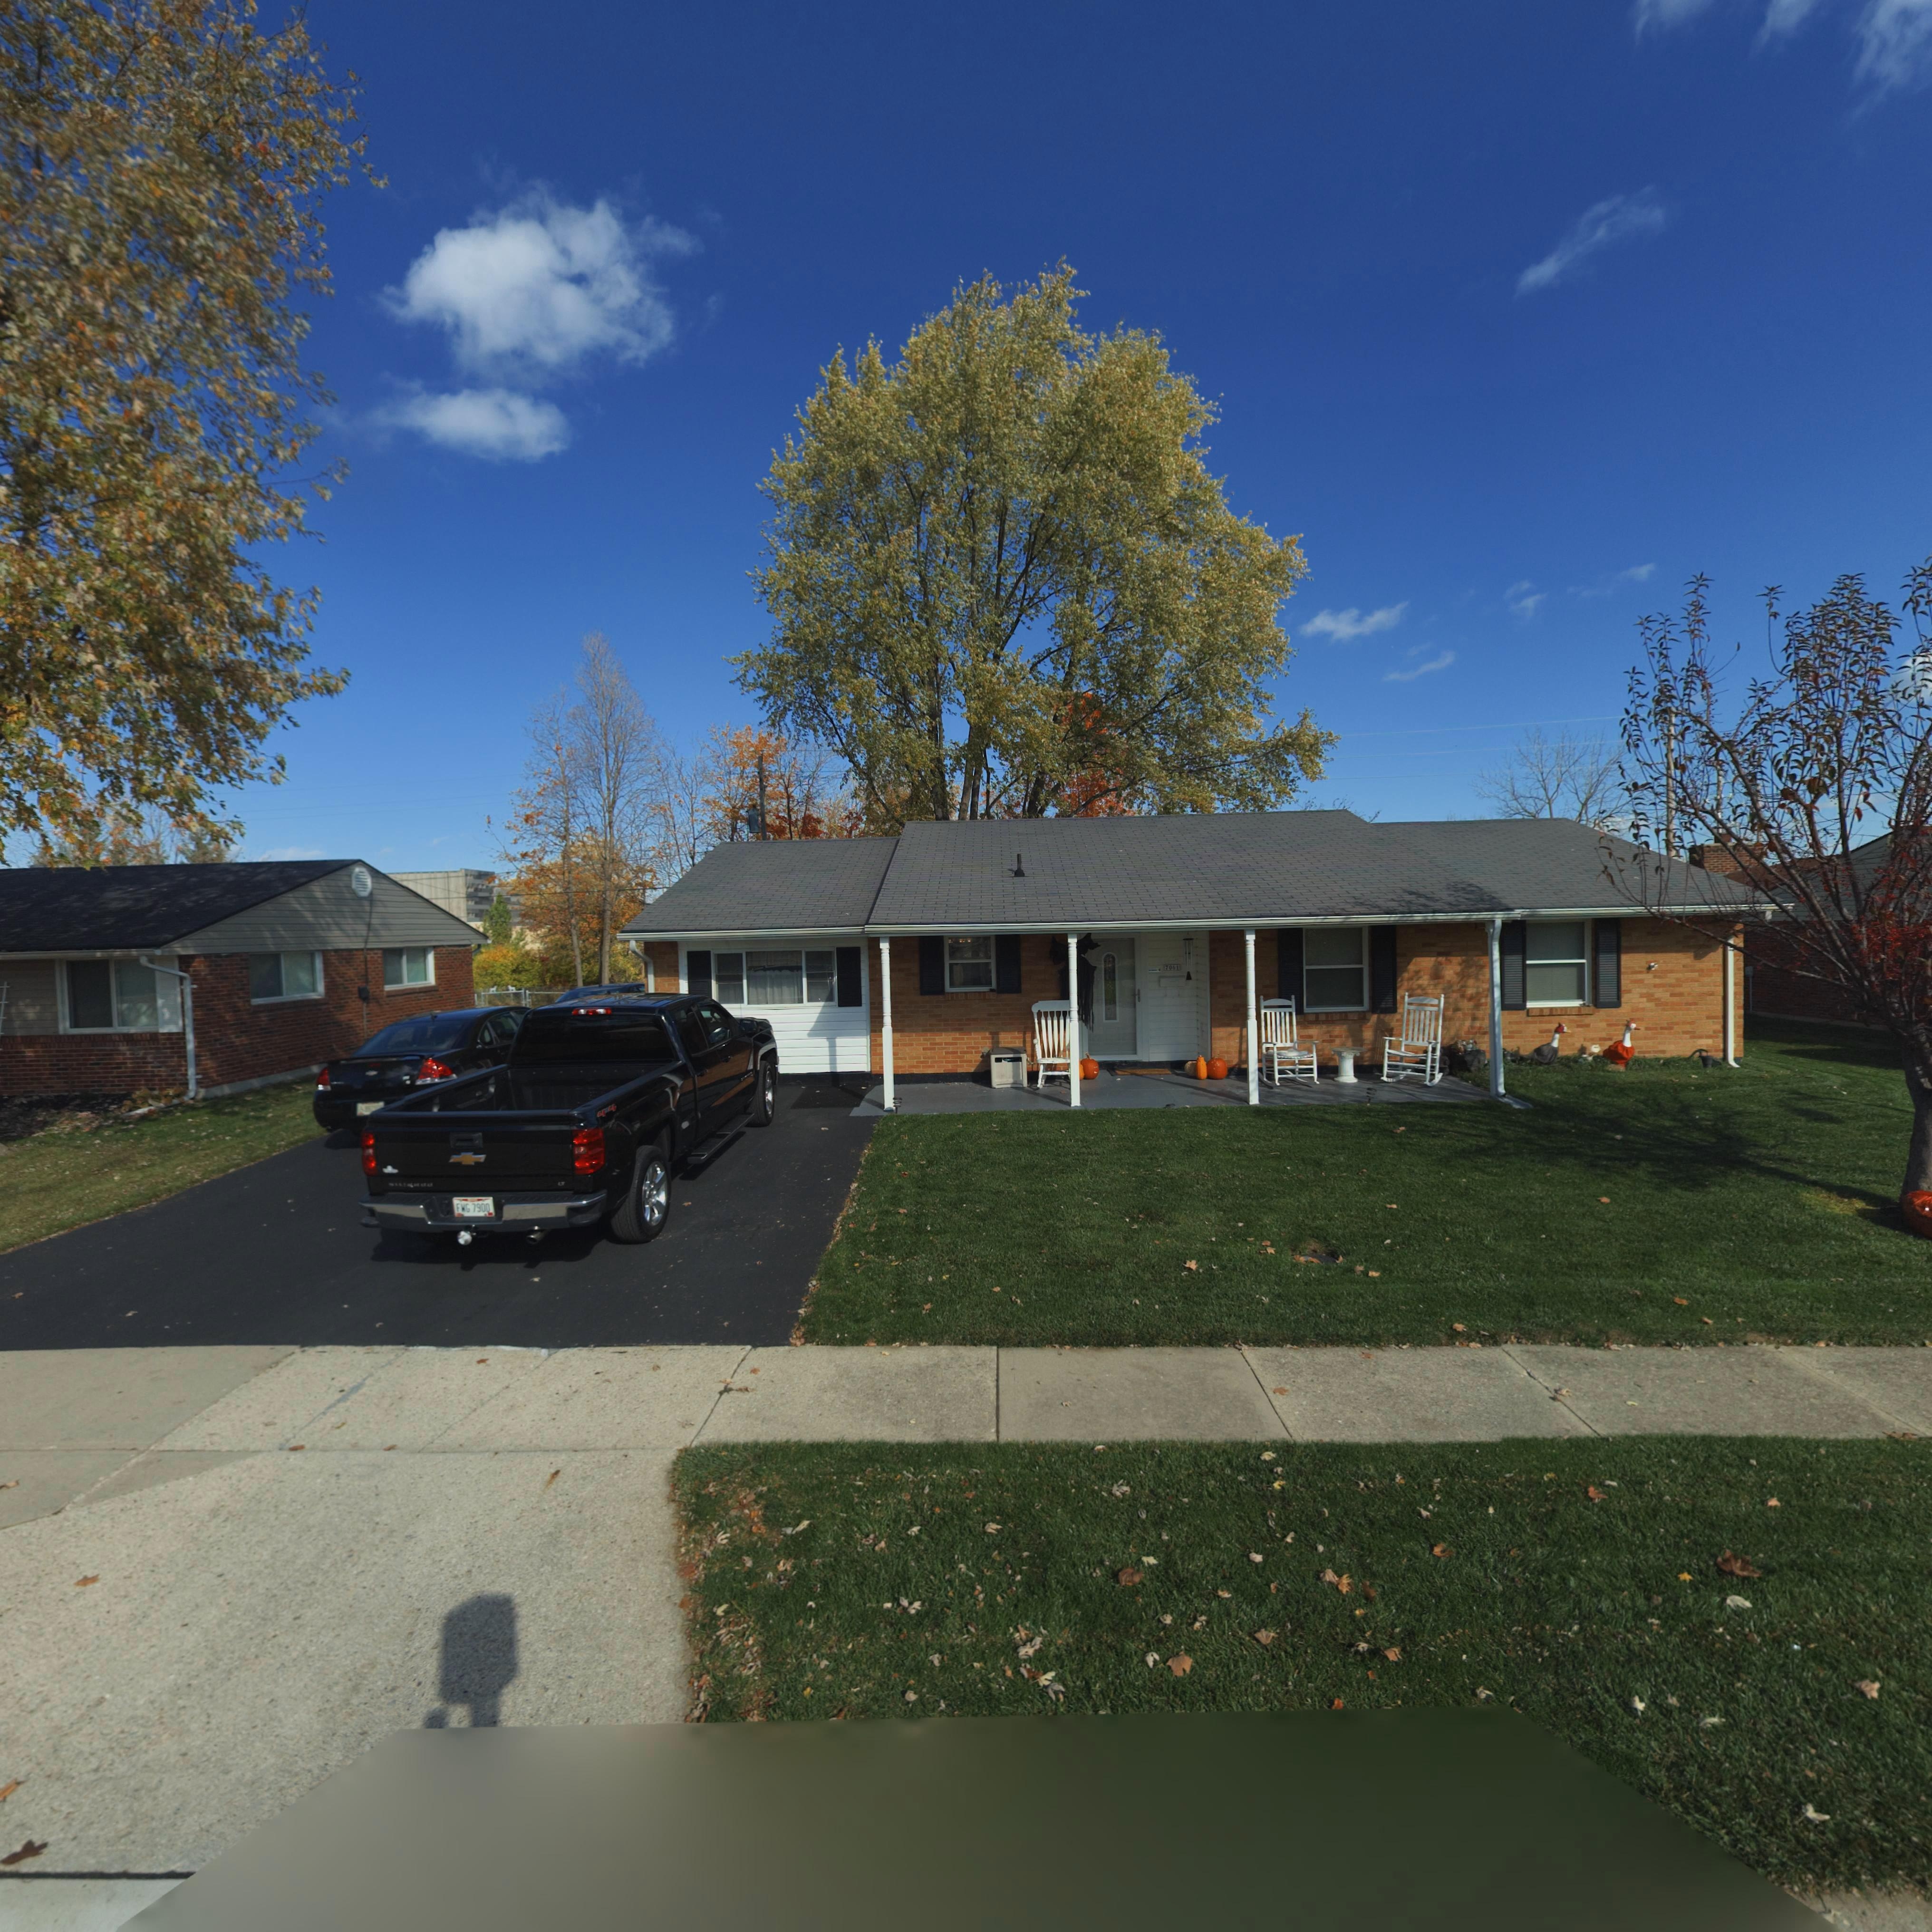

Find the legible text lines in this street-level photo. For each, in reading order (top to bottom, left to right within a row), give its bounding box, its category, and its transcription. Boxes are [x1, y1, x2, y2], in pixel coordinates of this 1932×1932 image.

[1164, 964, 1179, 972] StreetNumber: 7061